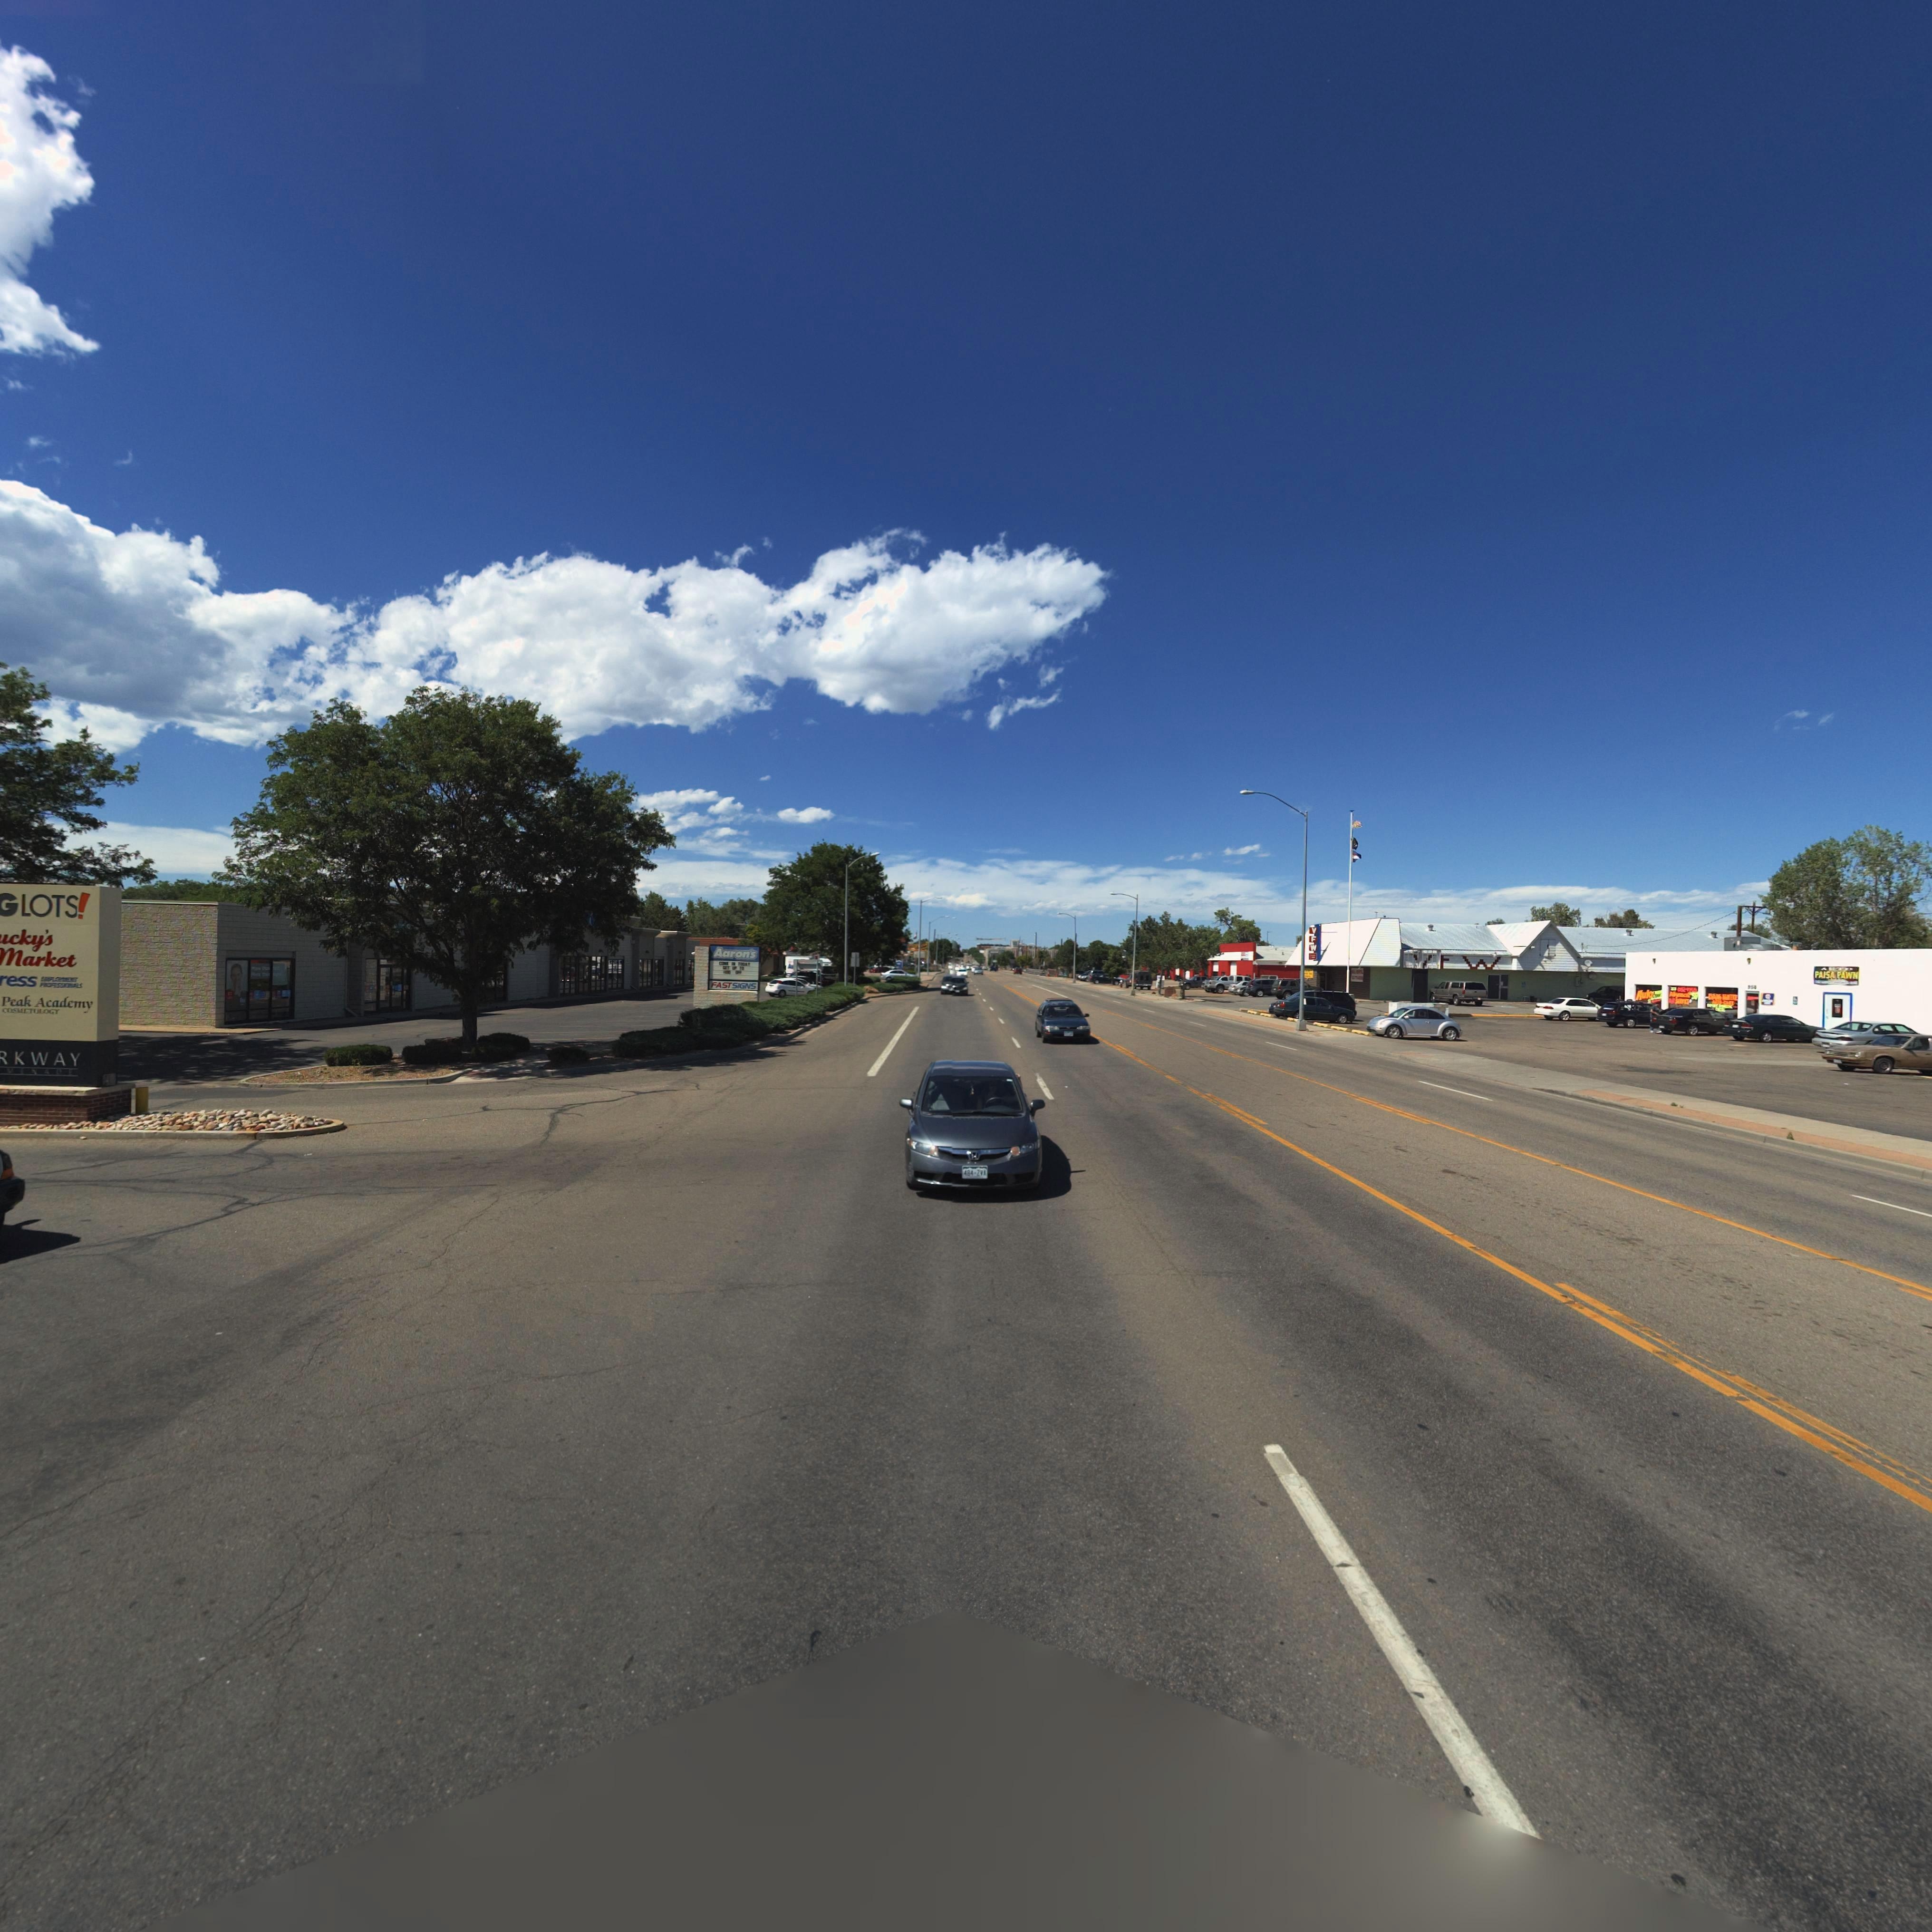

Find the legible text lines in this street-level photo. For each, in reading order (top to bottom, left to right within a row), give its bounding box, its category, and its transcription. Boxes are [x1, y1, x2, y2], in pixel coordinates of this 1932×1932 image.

[19, 892, 80, 918] BusinessName: LOTS
[8, 928, 55, 953] BusinessName: cky*s
[1309, 927, 1317, 951] BusinessName: VFW
[0, 947, 78, 967] BusinessName: Market
[712, 947, 757, 959] BusinessName: Aaron*s
[1410, 954, 1507, 970] BusinessName: *FW
[5, 974, 38, 987] BusinessName: ess
[710, 981, 757, 990] BusinessName: FASTSIGNS
[1748, 985, 1756, 989] BusinessName: *24
[1814, 971, 1859, 980] BusinessName: FA*** PA***
[1, 1007, 60, 1016] BusinessName: COSMETOLOGY
[1, 994, 95, 1015] BusinessName: Peak Academy
[12, 1049, 81, 1067] BusinessName: KWAY